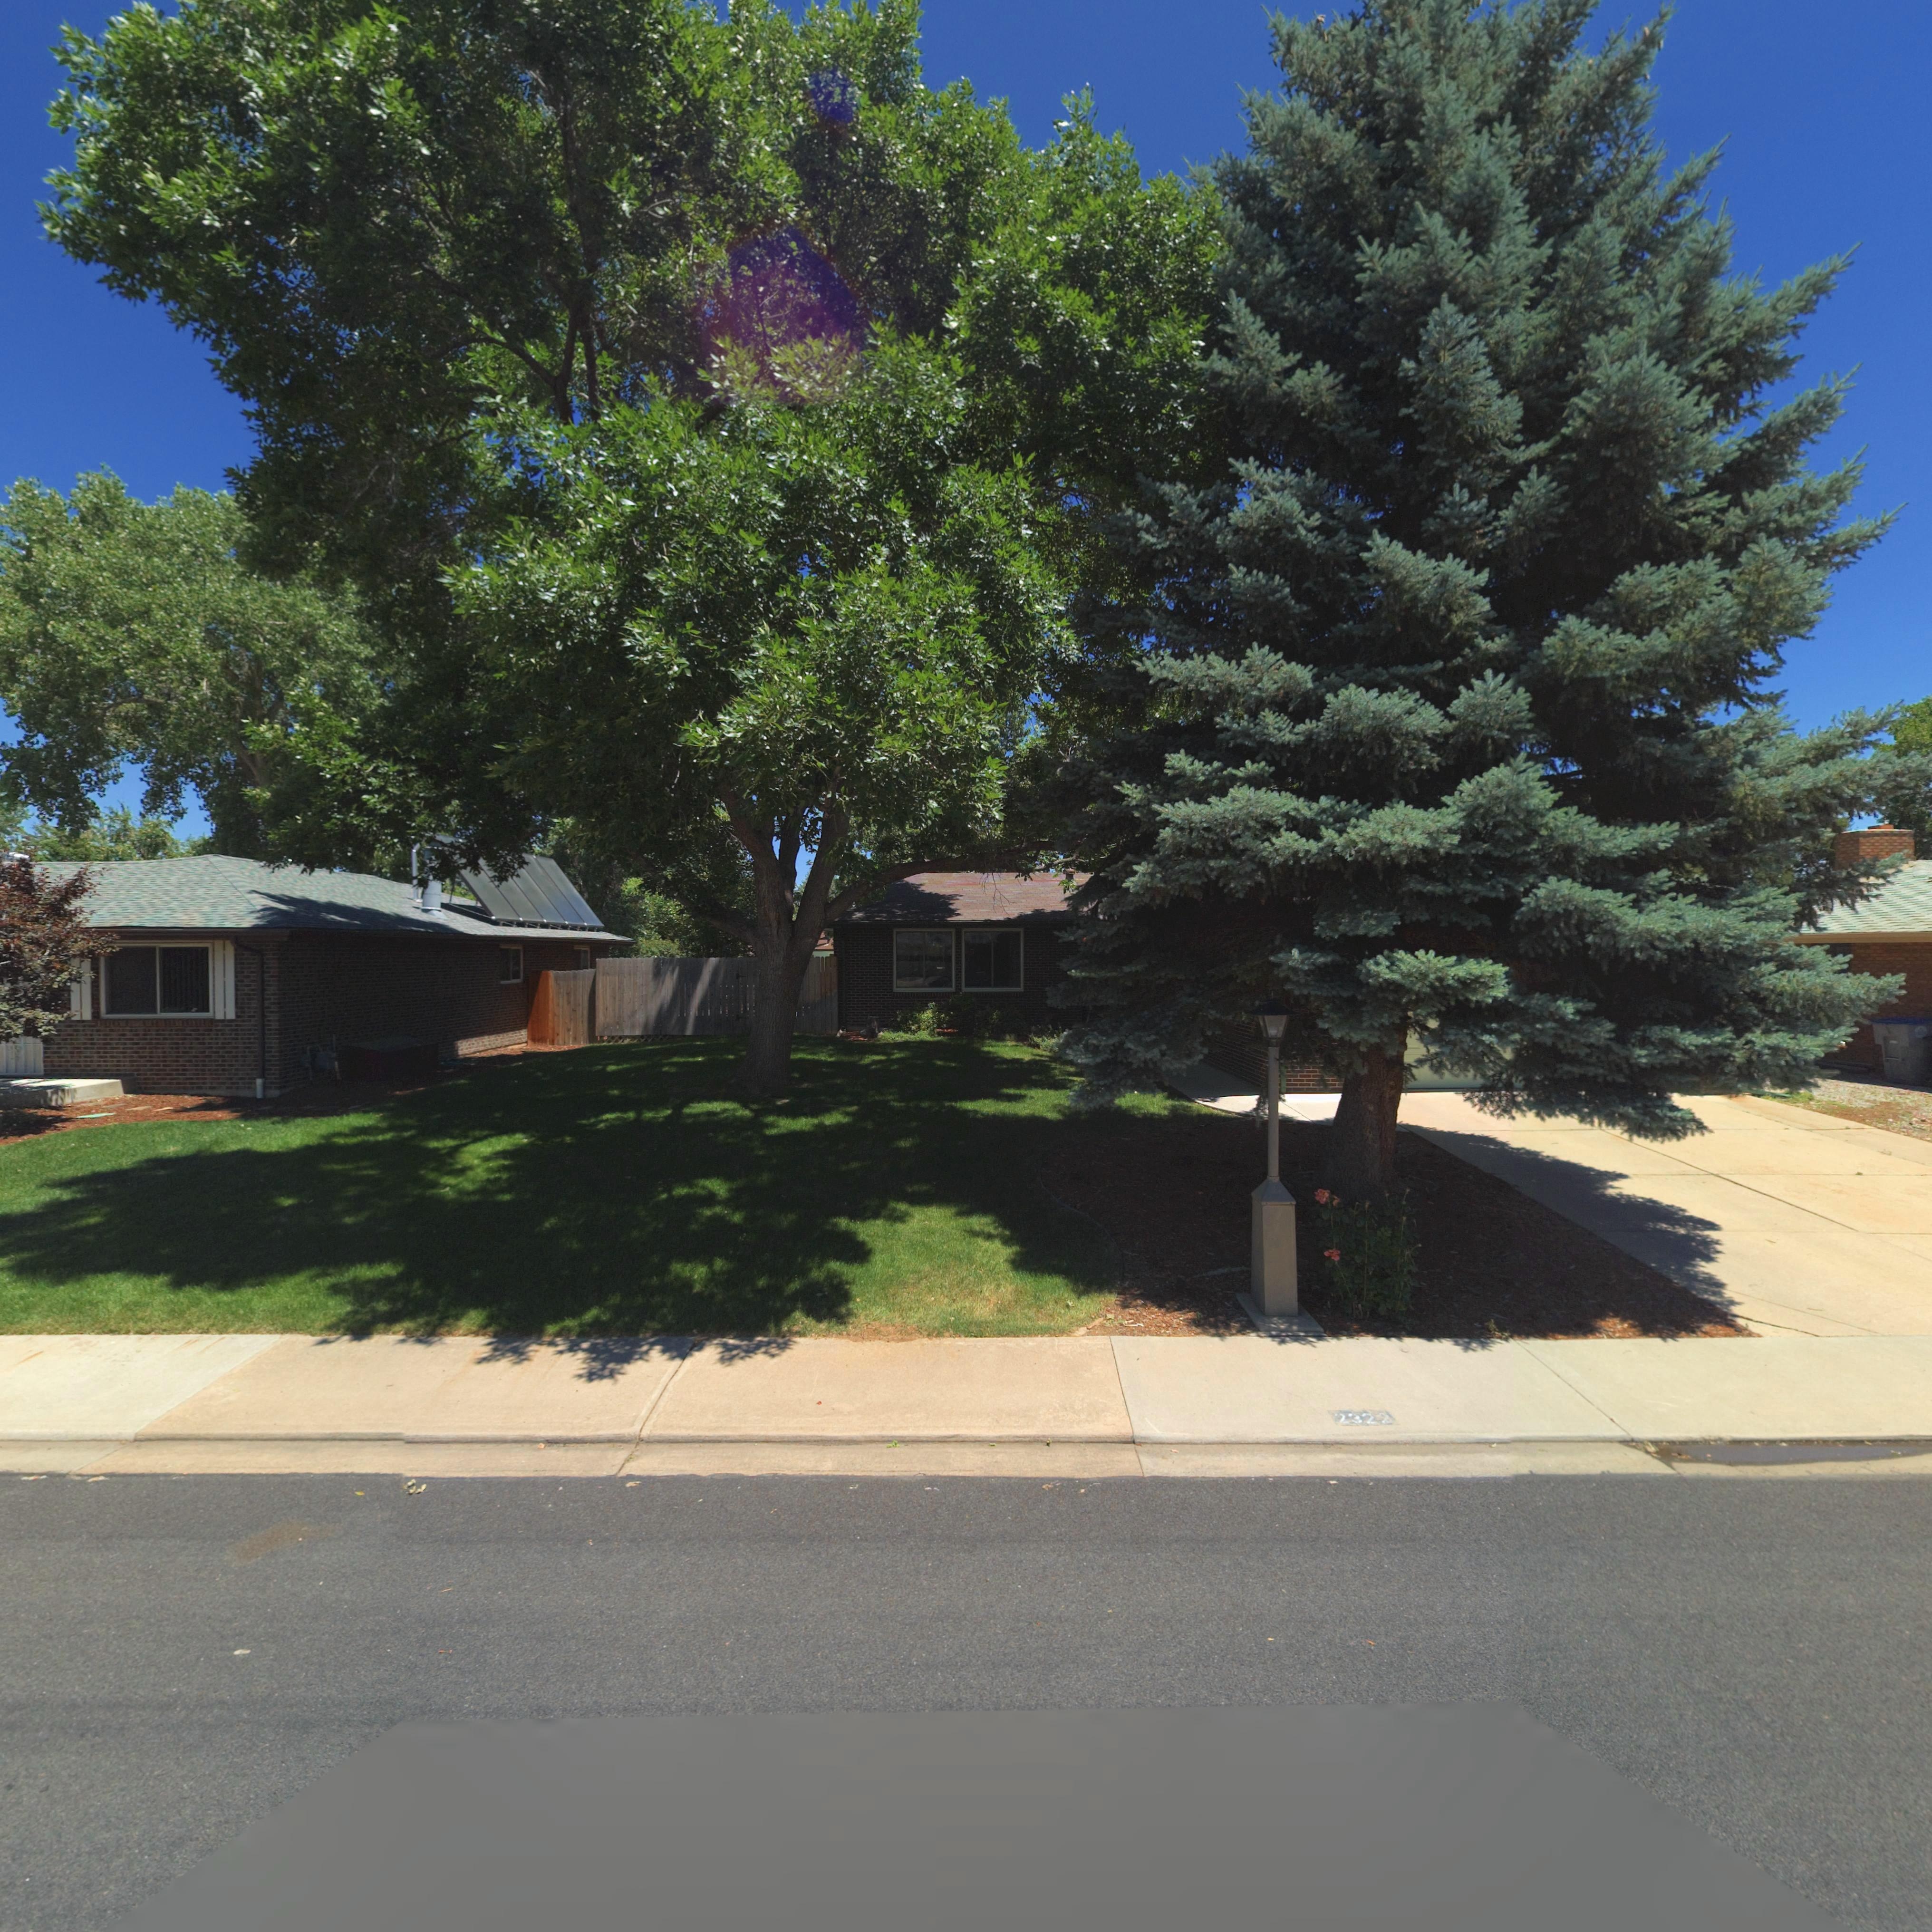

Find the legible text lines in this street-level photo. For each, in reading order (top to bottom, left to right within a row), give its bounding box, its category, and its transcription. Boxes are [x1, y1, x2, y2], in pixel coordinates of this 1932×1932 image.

[1333, 1411, 1394, 1424] StreetNumber: 2322